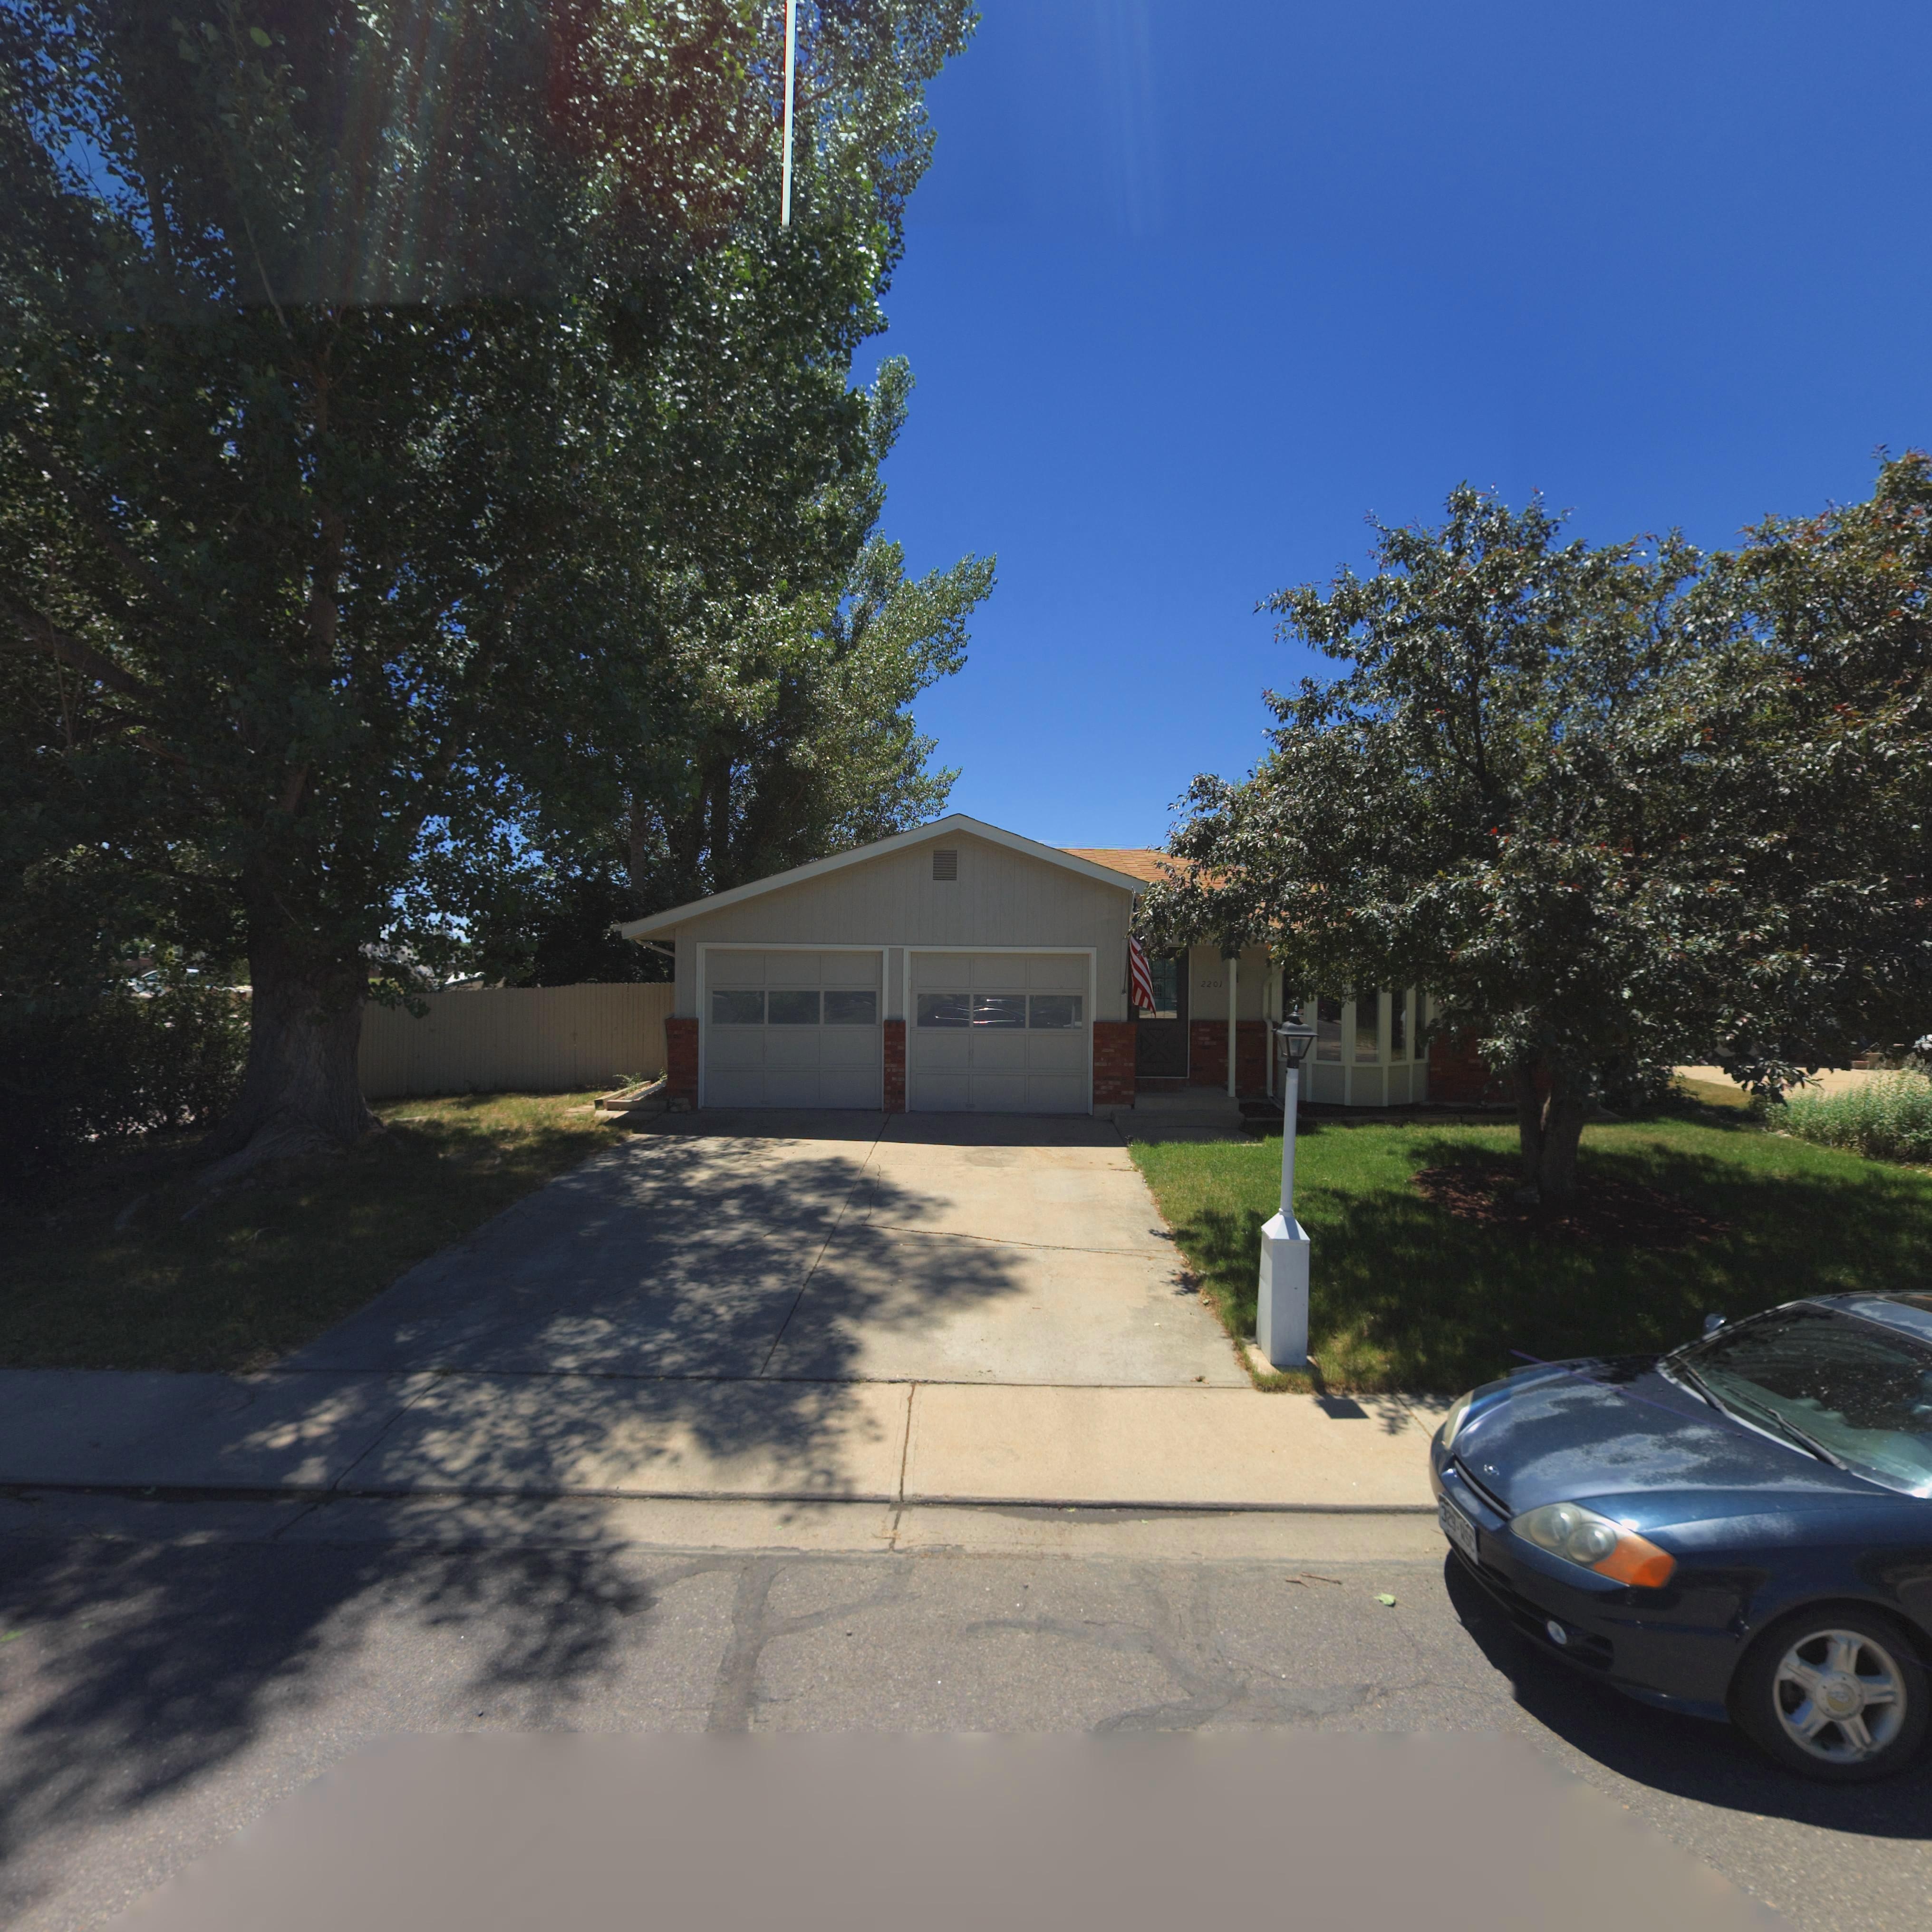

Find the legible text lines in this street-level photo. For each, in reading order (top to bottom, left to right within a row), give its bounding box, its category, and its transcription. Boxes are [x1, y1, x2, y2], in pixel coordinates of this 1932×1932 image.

[1200, 980, 1222, 988] StreetNumber: 2201